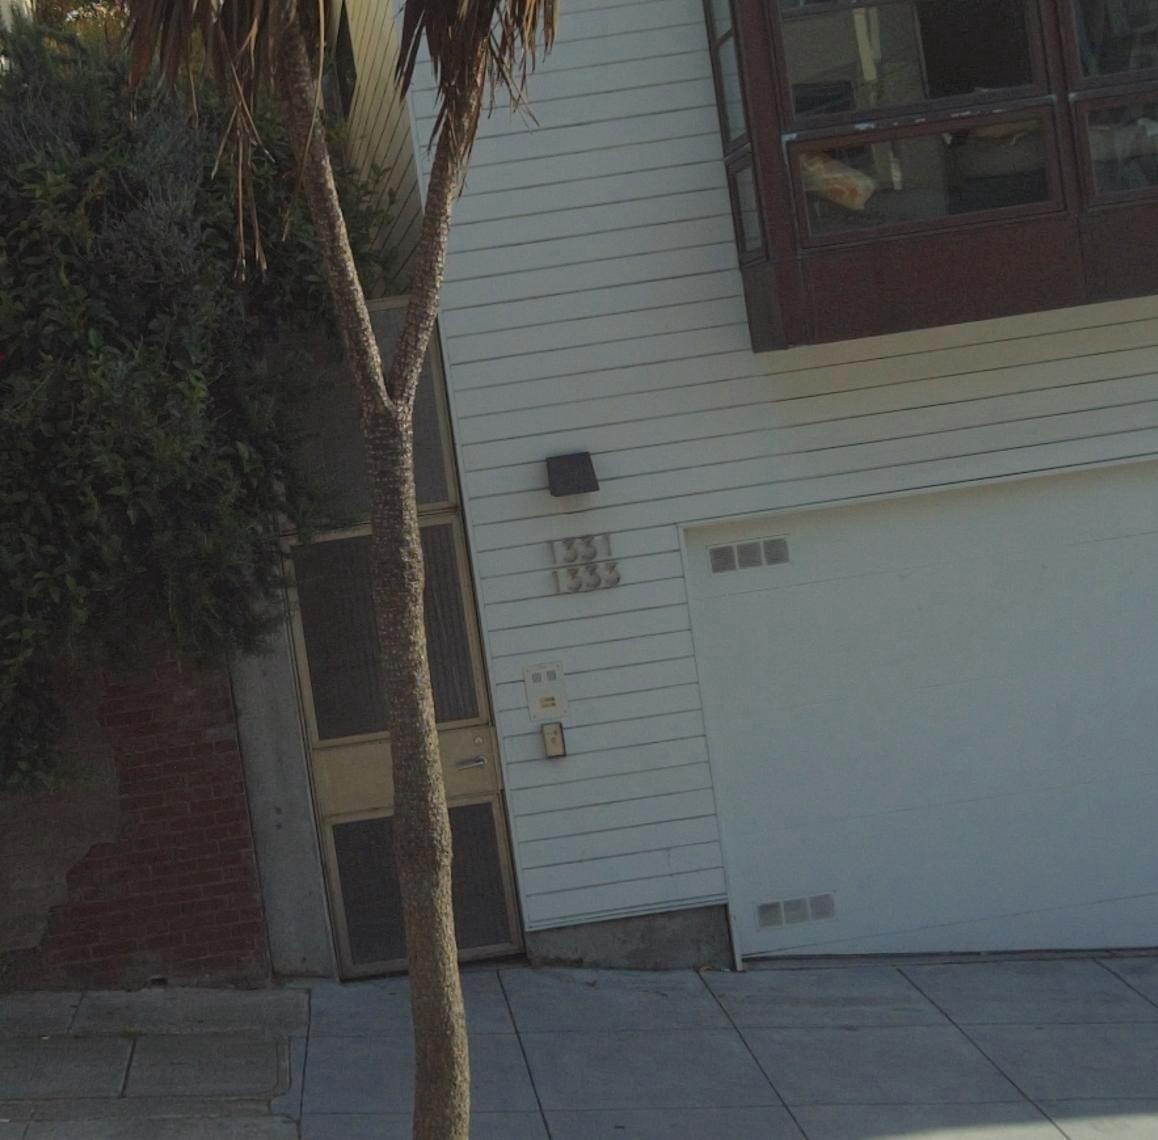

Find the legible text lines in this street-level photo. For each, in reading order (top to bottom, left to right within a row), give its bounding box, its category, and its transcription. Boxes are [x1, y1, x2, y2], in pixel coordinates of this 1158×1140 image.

[543, 530, 617, 566] StreetNumber: 1331
[547, 557, 624, 599] StreetNumber: 1333